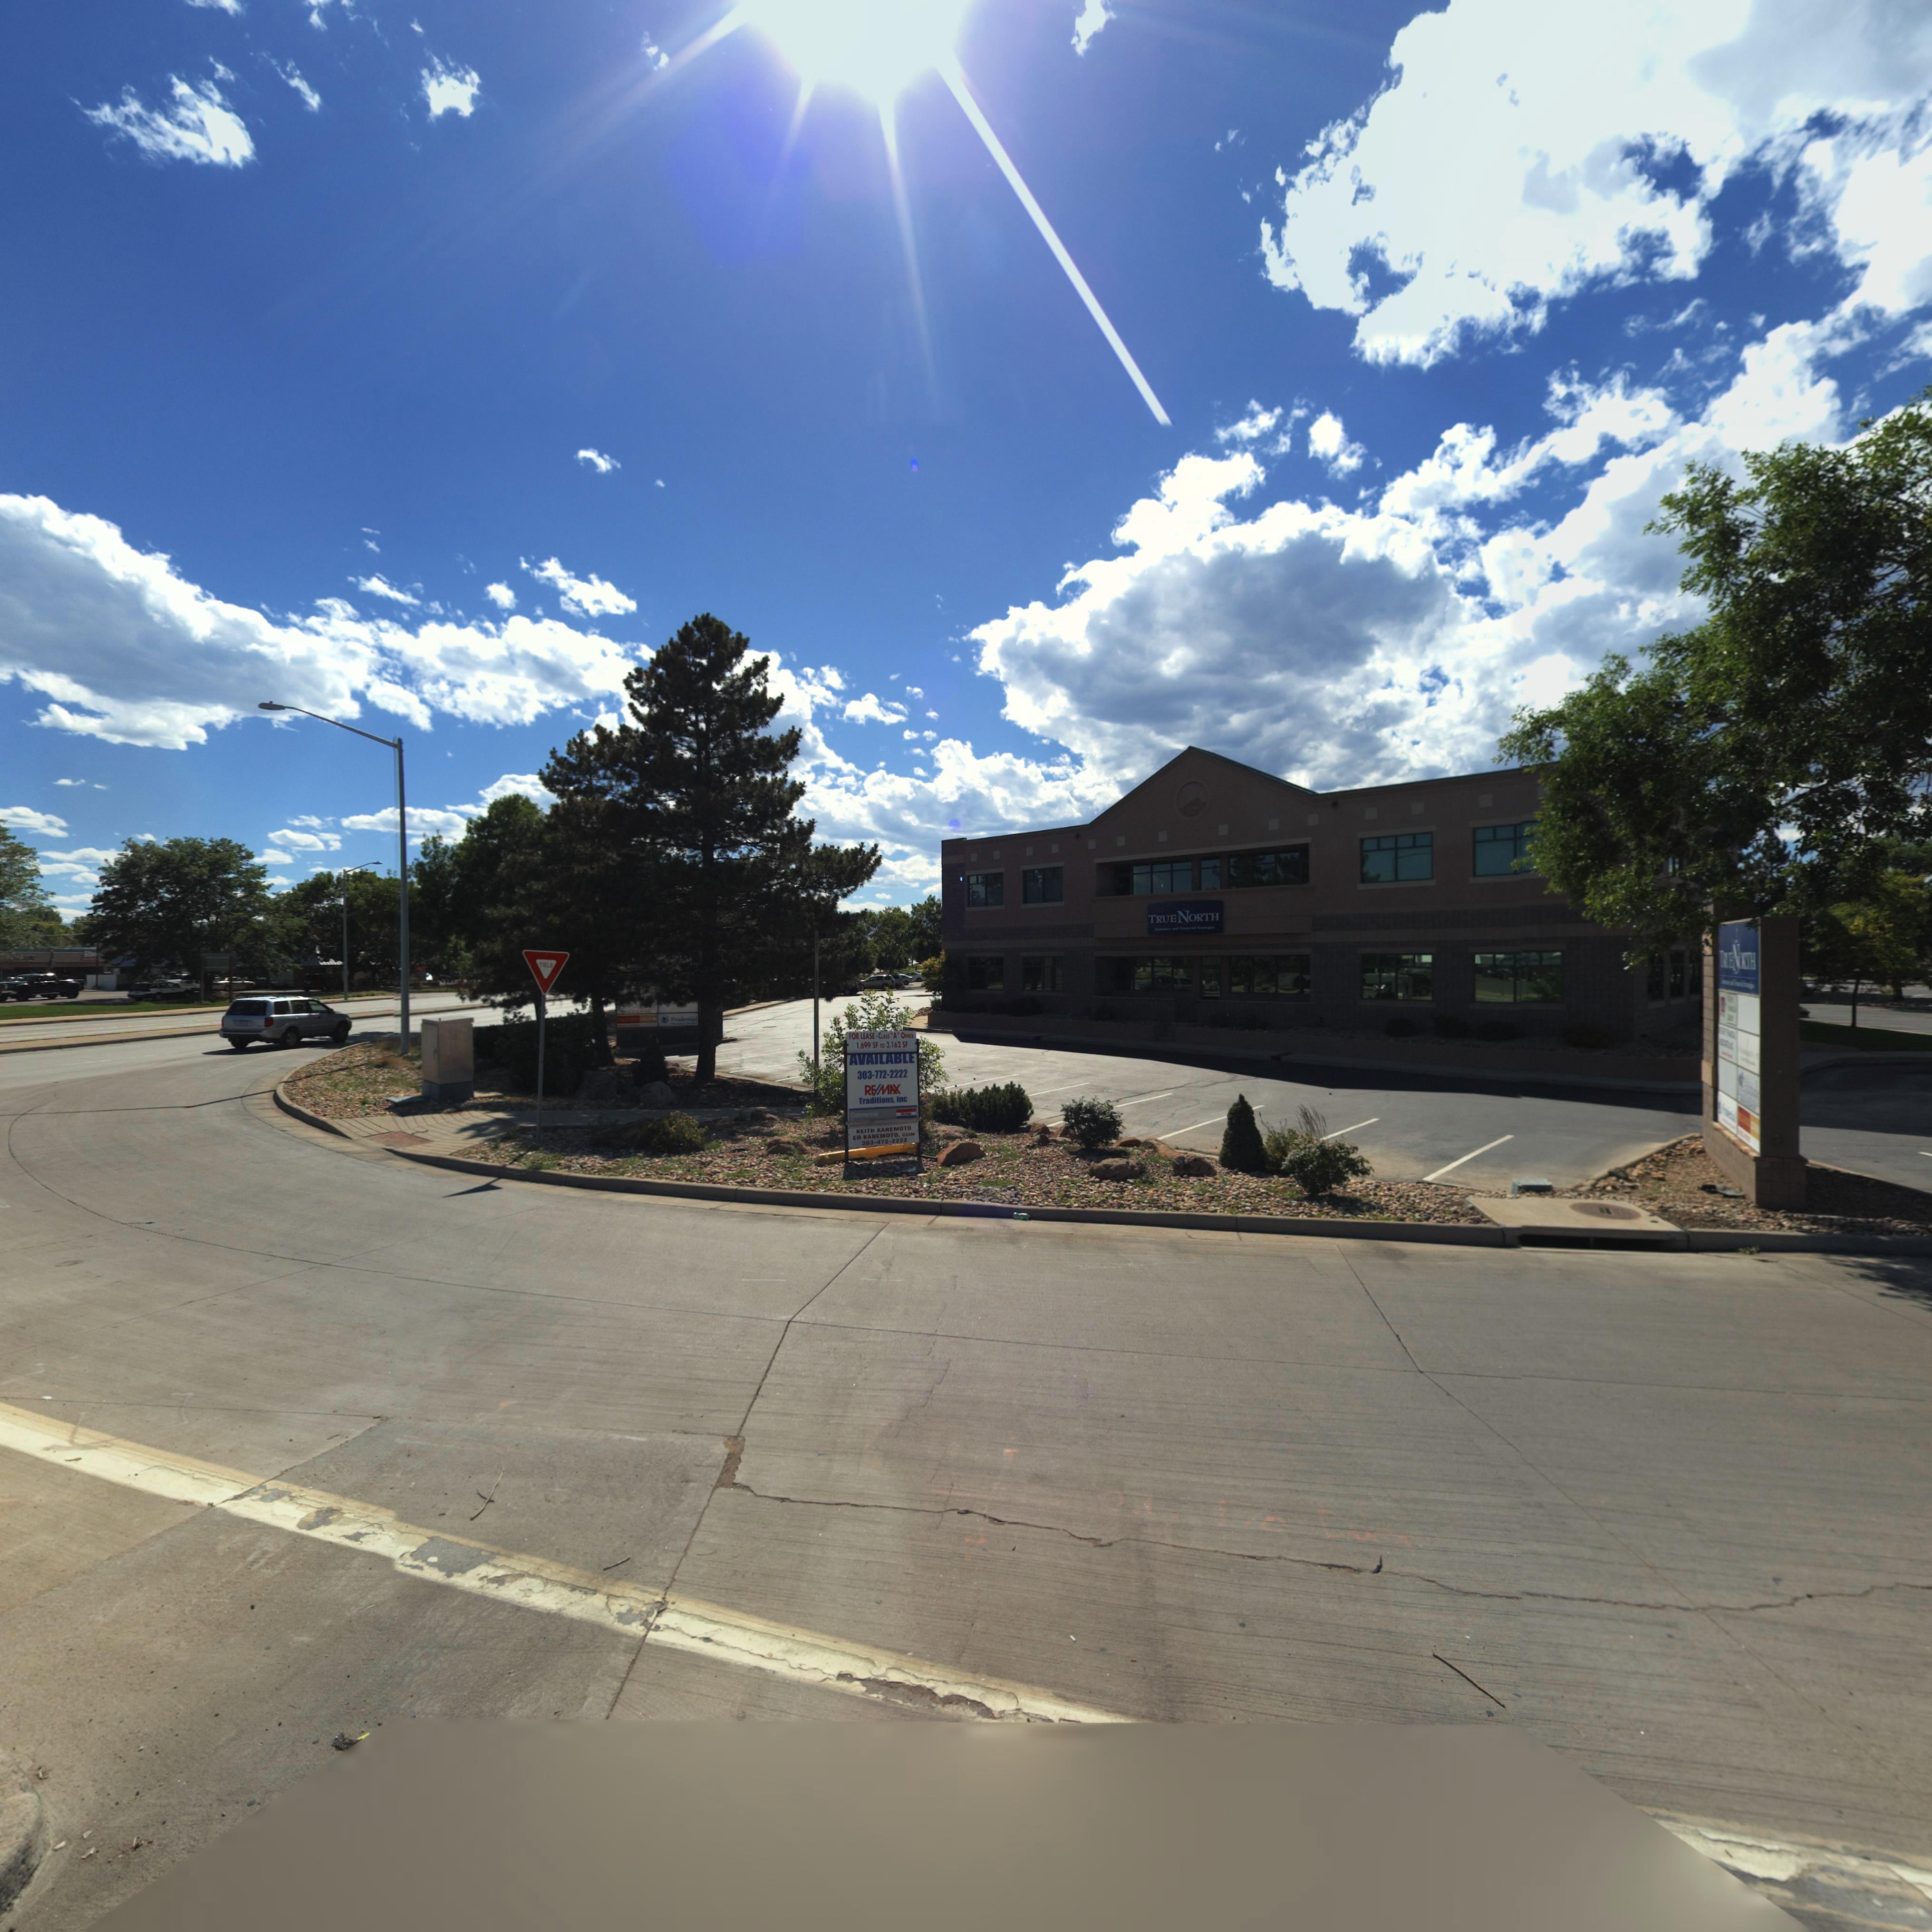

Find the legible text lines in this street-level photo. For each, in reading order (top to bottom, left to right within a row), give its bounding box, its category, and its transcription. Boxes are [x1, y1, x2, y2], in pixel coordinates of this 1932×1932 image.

[1148, 909, 1219, 924] BusinessName: TRUE NORTH
[1718, 943, 1757, 972] BusinessName: T**E N*RTH
[670, 1015, 697, 1022] BusinessName: Prudental